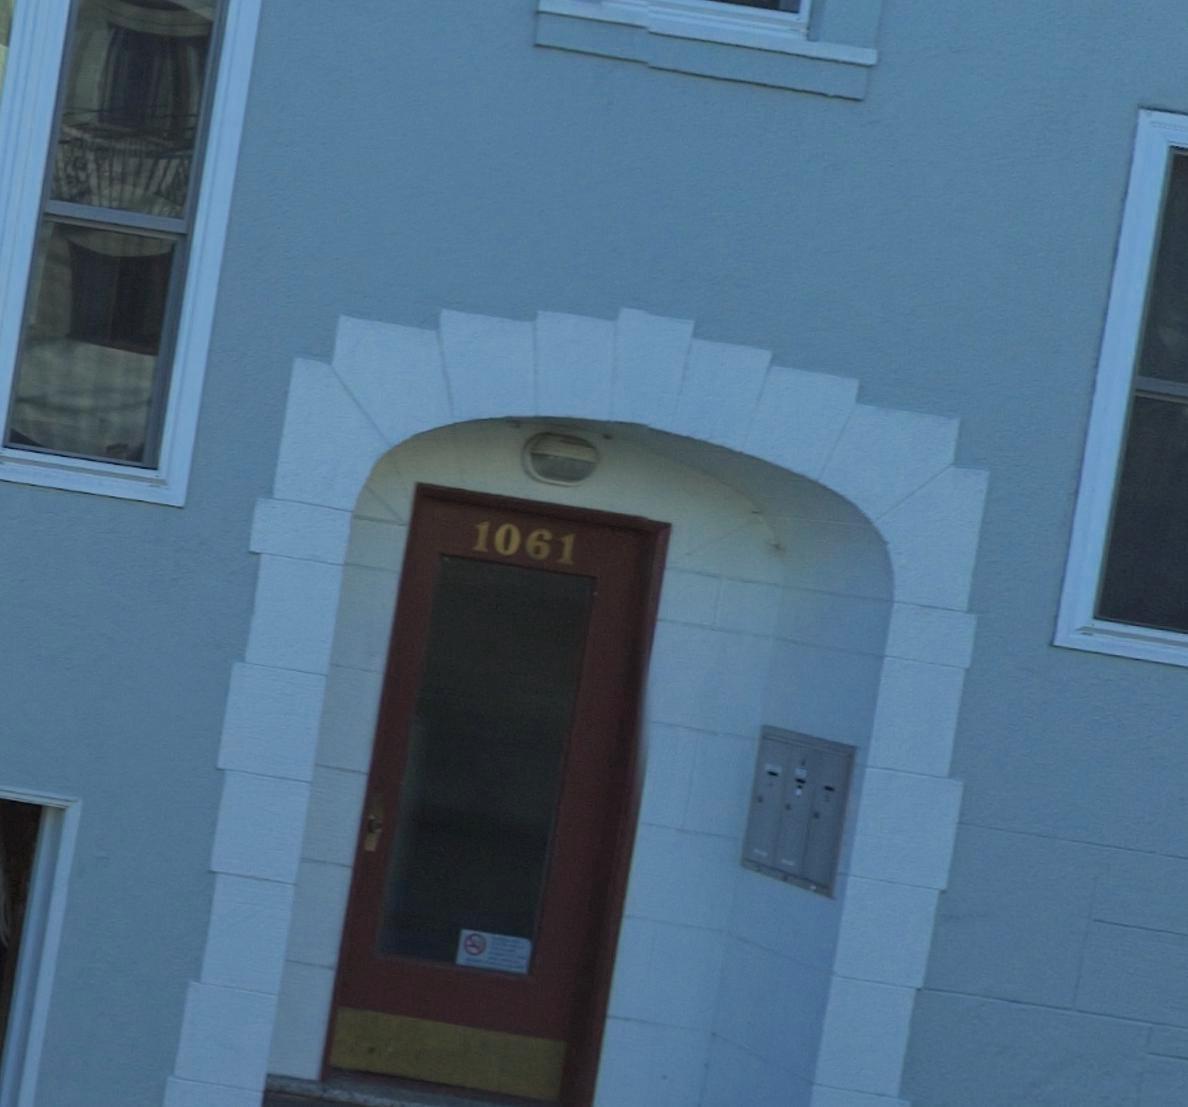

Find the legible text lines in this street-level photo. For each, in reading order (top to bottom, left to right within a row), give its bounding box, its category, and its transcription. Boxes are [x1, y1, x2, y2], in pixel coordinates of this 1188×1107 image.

[466, 515, 579, 569] StreetNumber: 1061